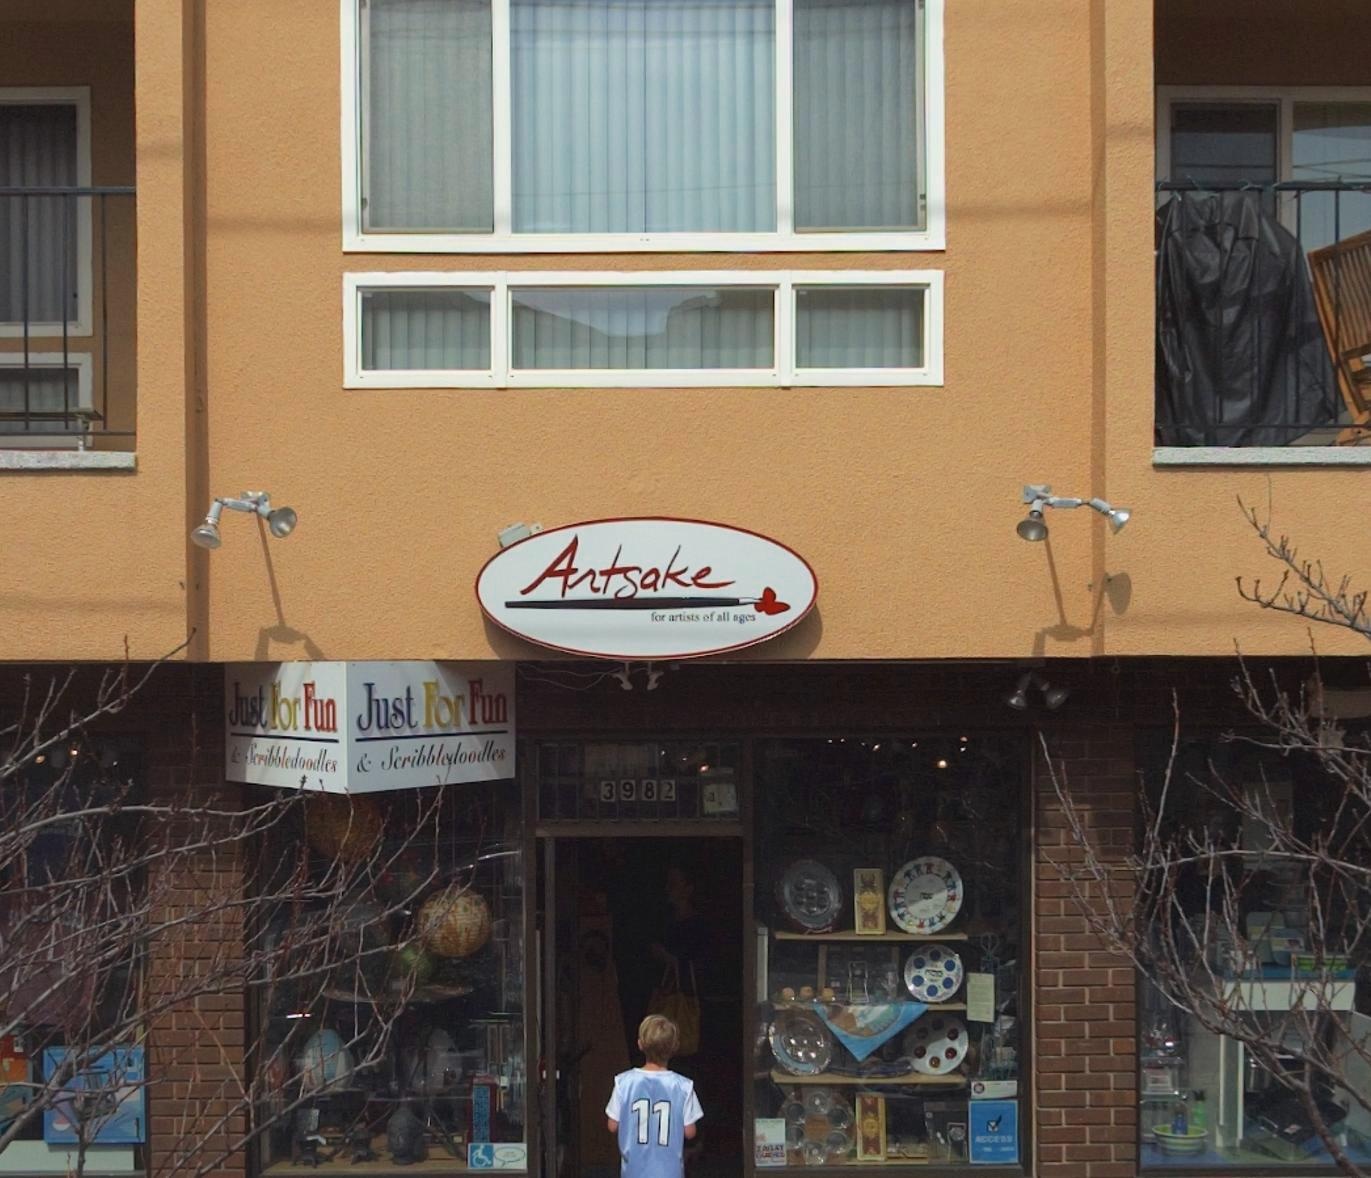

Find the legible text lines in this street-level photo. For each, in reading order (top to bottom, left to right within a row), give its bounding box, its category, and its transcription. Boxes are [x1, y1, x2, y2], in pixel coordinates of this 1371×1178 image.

[512, 532, 737, 600] BusinessName: Artsake
[649, 610, 758, 625] None: for artists of all ages
[226, 679, 339, 734] BusinessName: Just For Fun
[355, 679, 511, 734] BusinessName: Just For Fun
[225, 740, 345, 776] BusinessName: & Scribbledoodles
[352, 740, 508, 775] BusinessName: & Scribbledoodles
[602, 780, 677, 803] StreetNumber: 3892
[631, 1098, 671, 1147] None: 11
[972, 1133, 1014, 1146] None: SCCESS